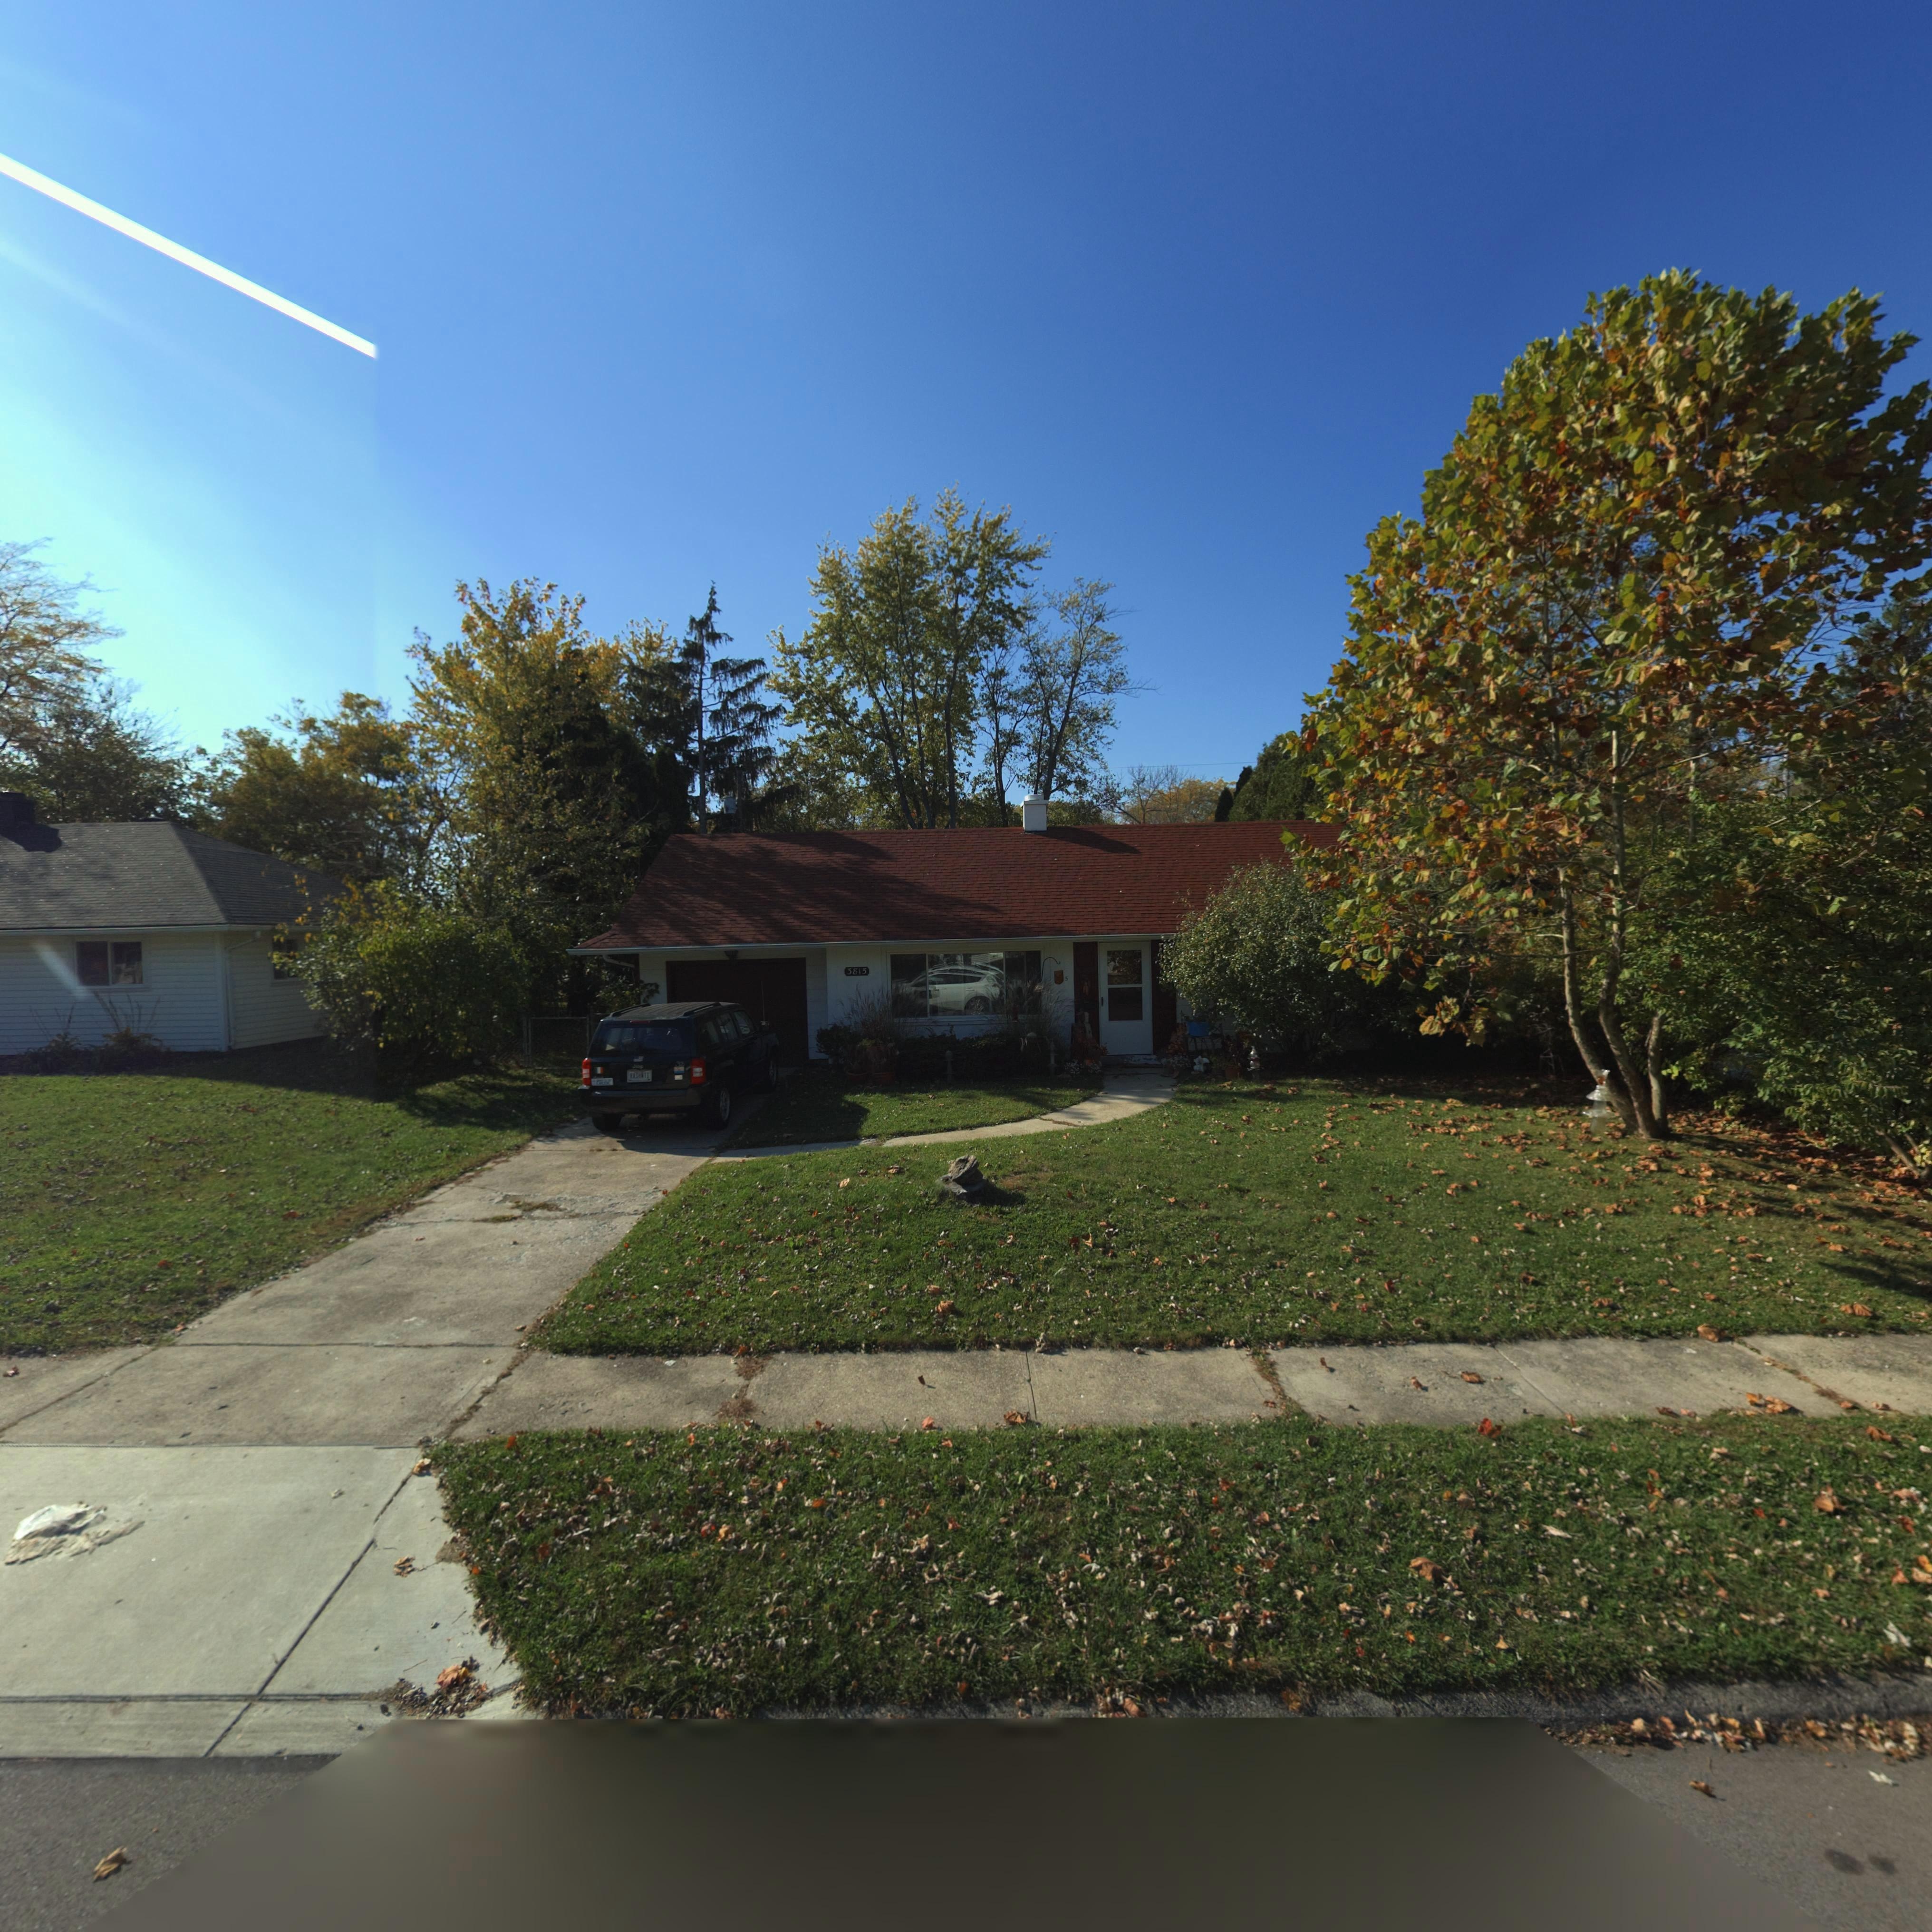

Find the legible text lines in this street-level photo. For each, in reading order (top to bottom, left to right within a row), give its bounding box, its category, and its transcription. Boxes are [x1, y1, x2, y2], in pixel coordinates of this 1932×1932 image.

[847, 967, 868, 976] StreetNumber: 3815
[1064, 976, 1069, 982] StreetNumber: 5